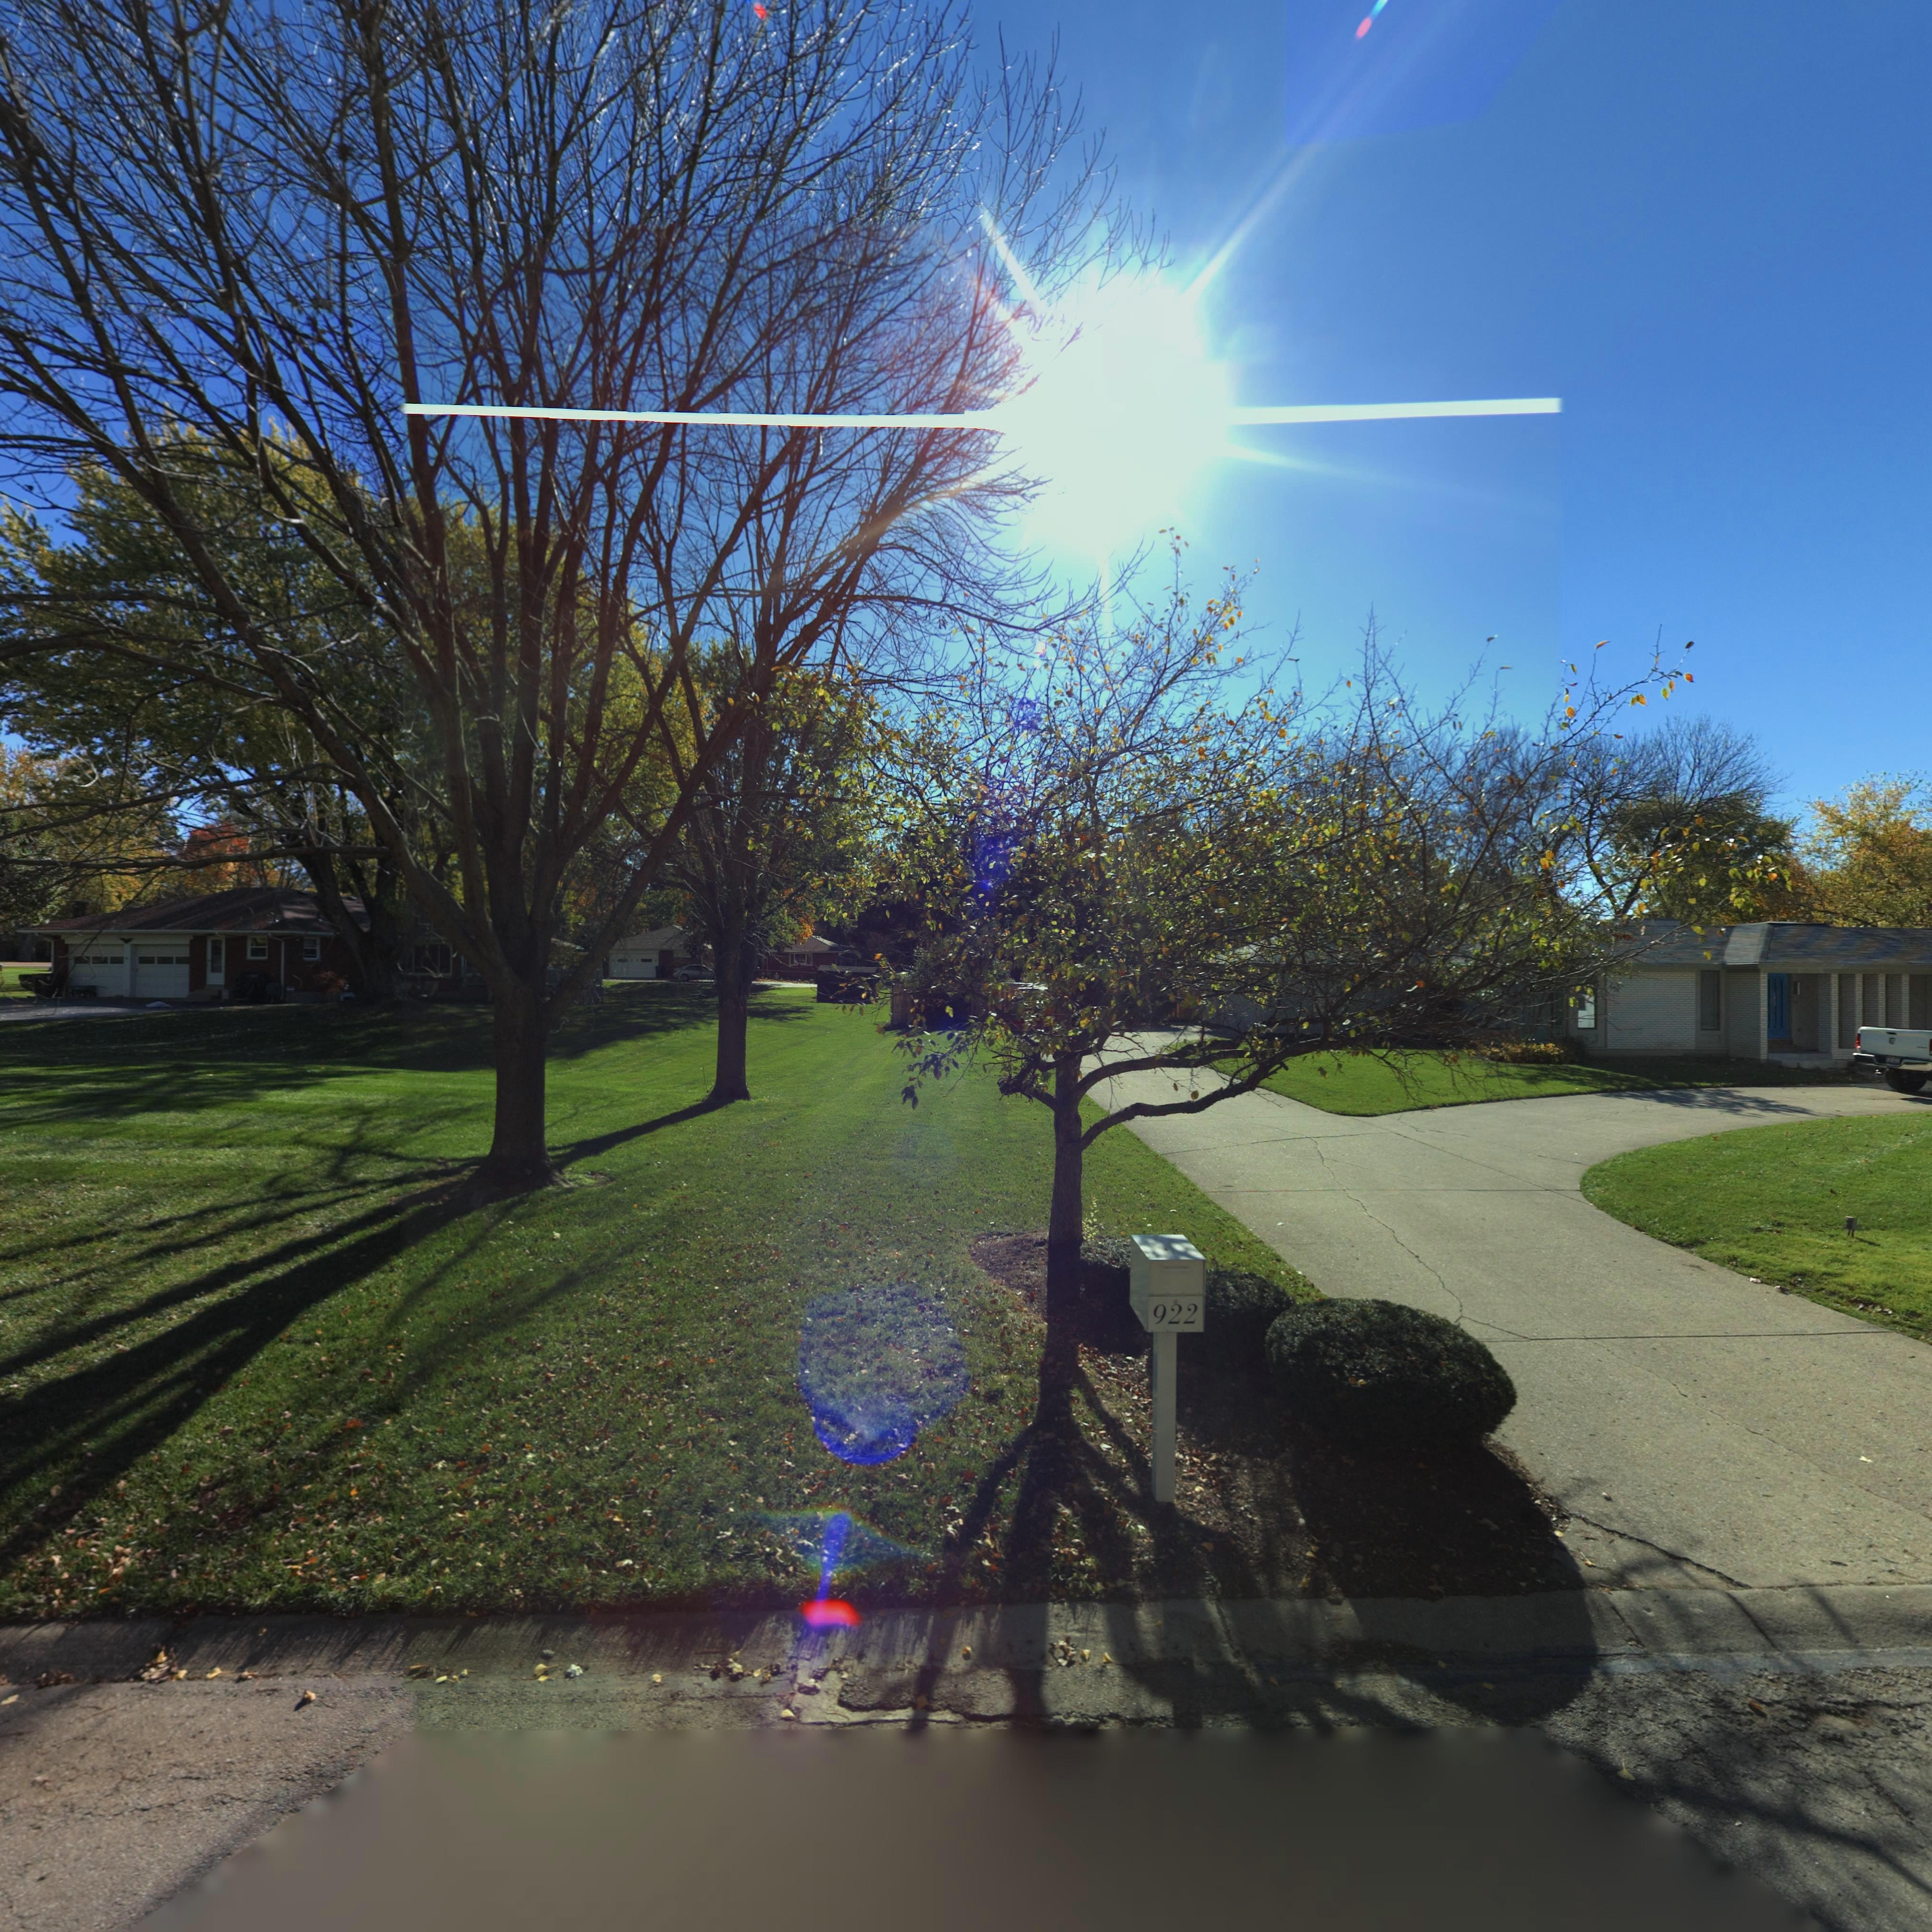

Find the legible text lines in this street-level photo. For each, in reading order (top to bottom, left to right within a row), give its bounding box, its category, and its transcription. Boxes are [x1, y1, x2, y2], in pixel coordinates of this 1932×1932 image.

[1152, 1303, 1199, 1326] StreetNumber: 922